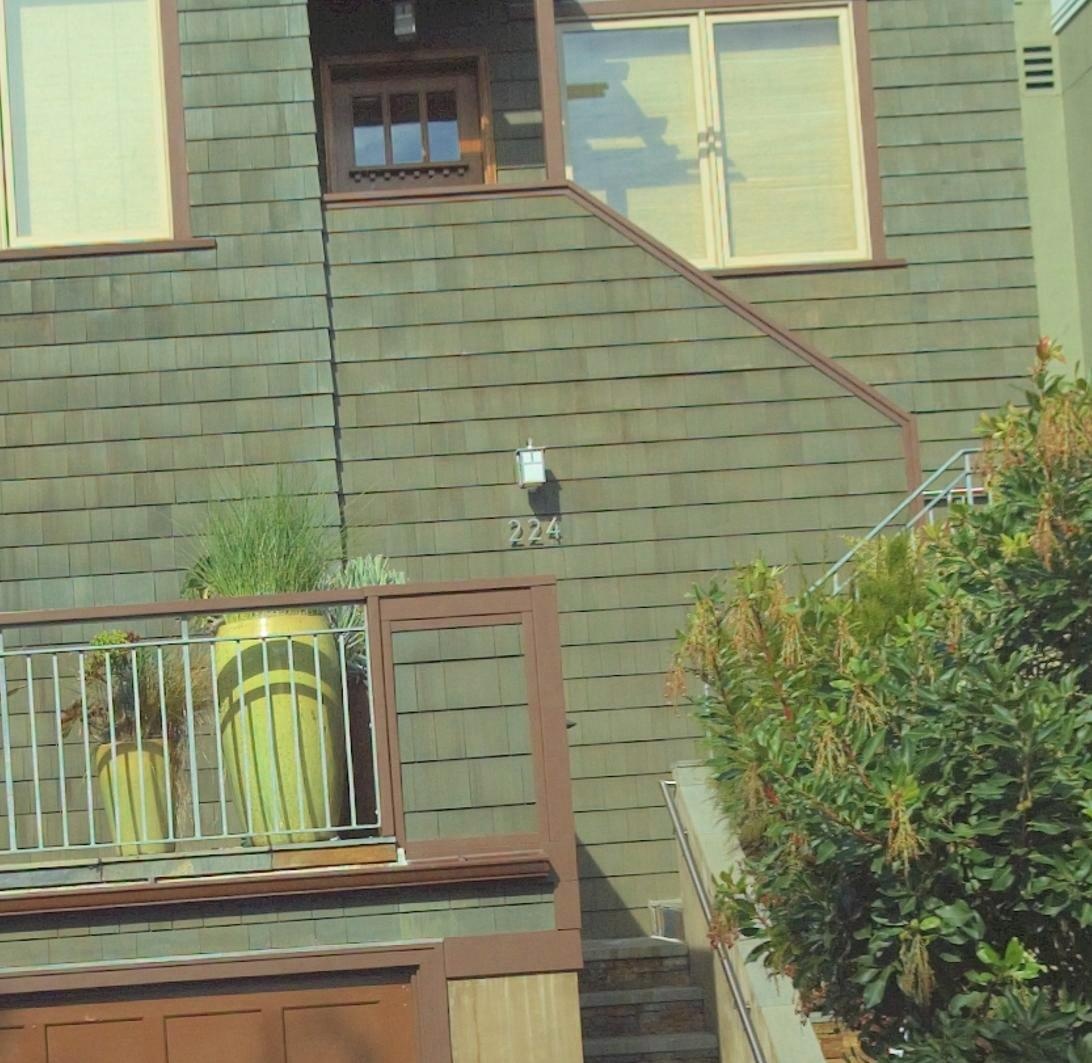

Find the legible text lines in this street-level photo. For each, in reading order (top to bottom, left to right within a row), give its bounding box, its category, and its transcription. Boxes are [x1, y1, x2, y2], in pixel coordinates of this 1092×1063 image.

[506, 514, 562, 543] StreetNumber: 224